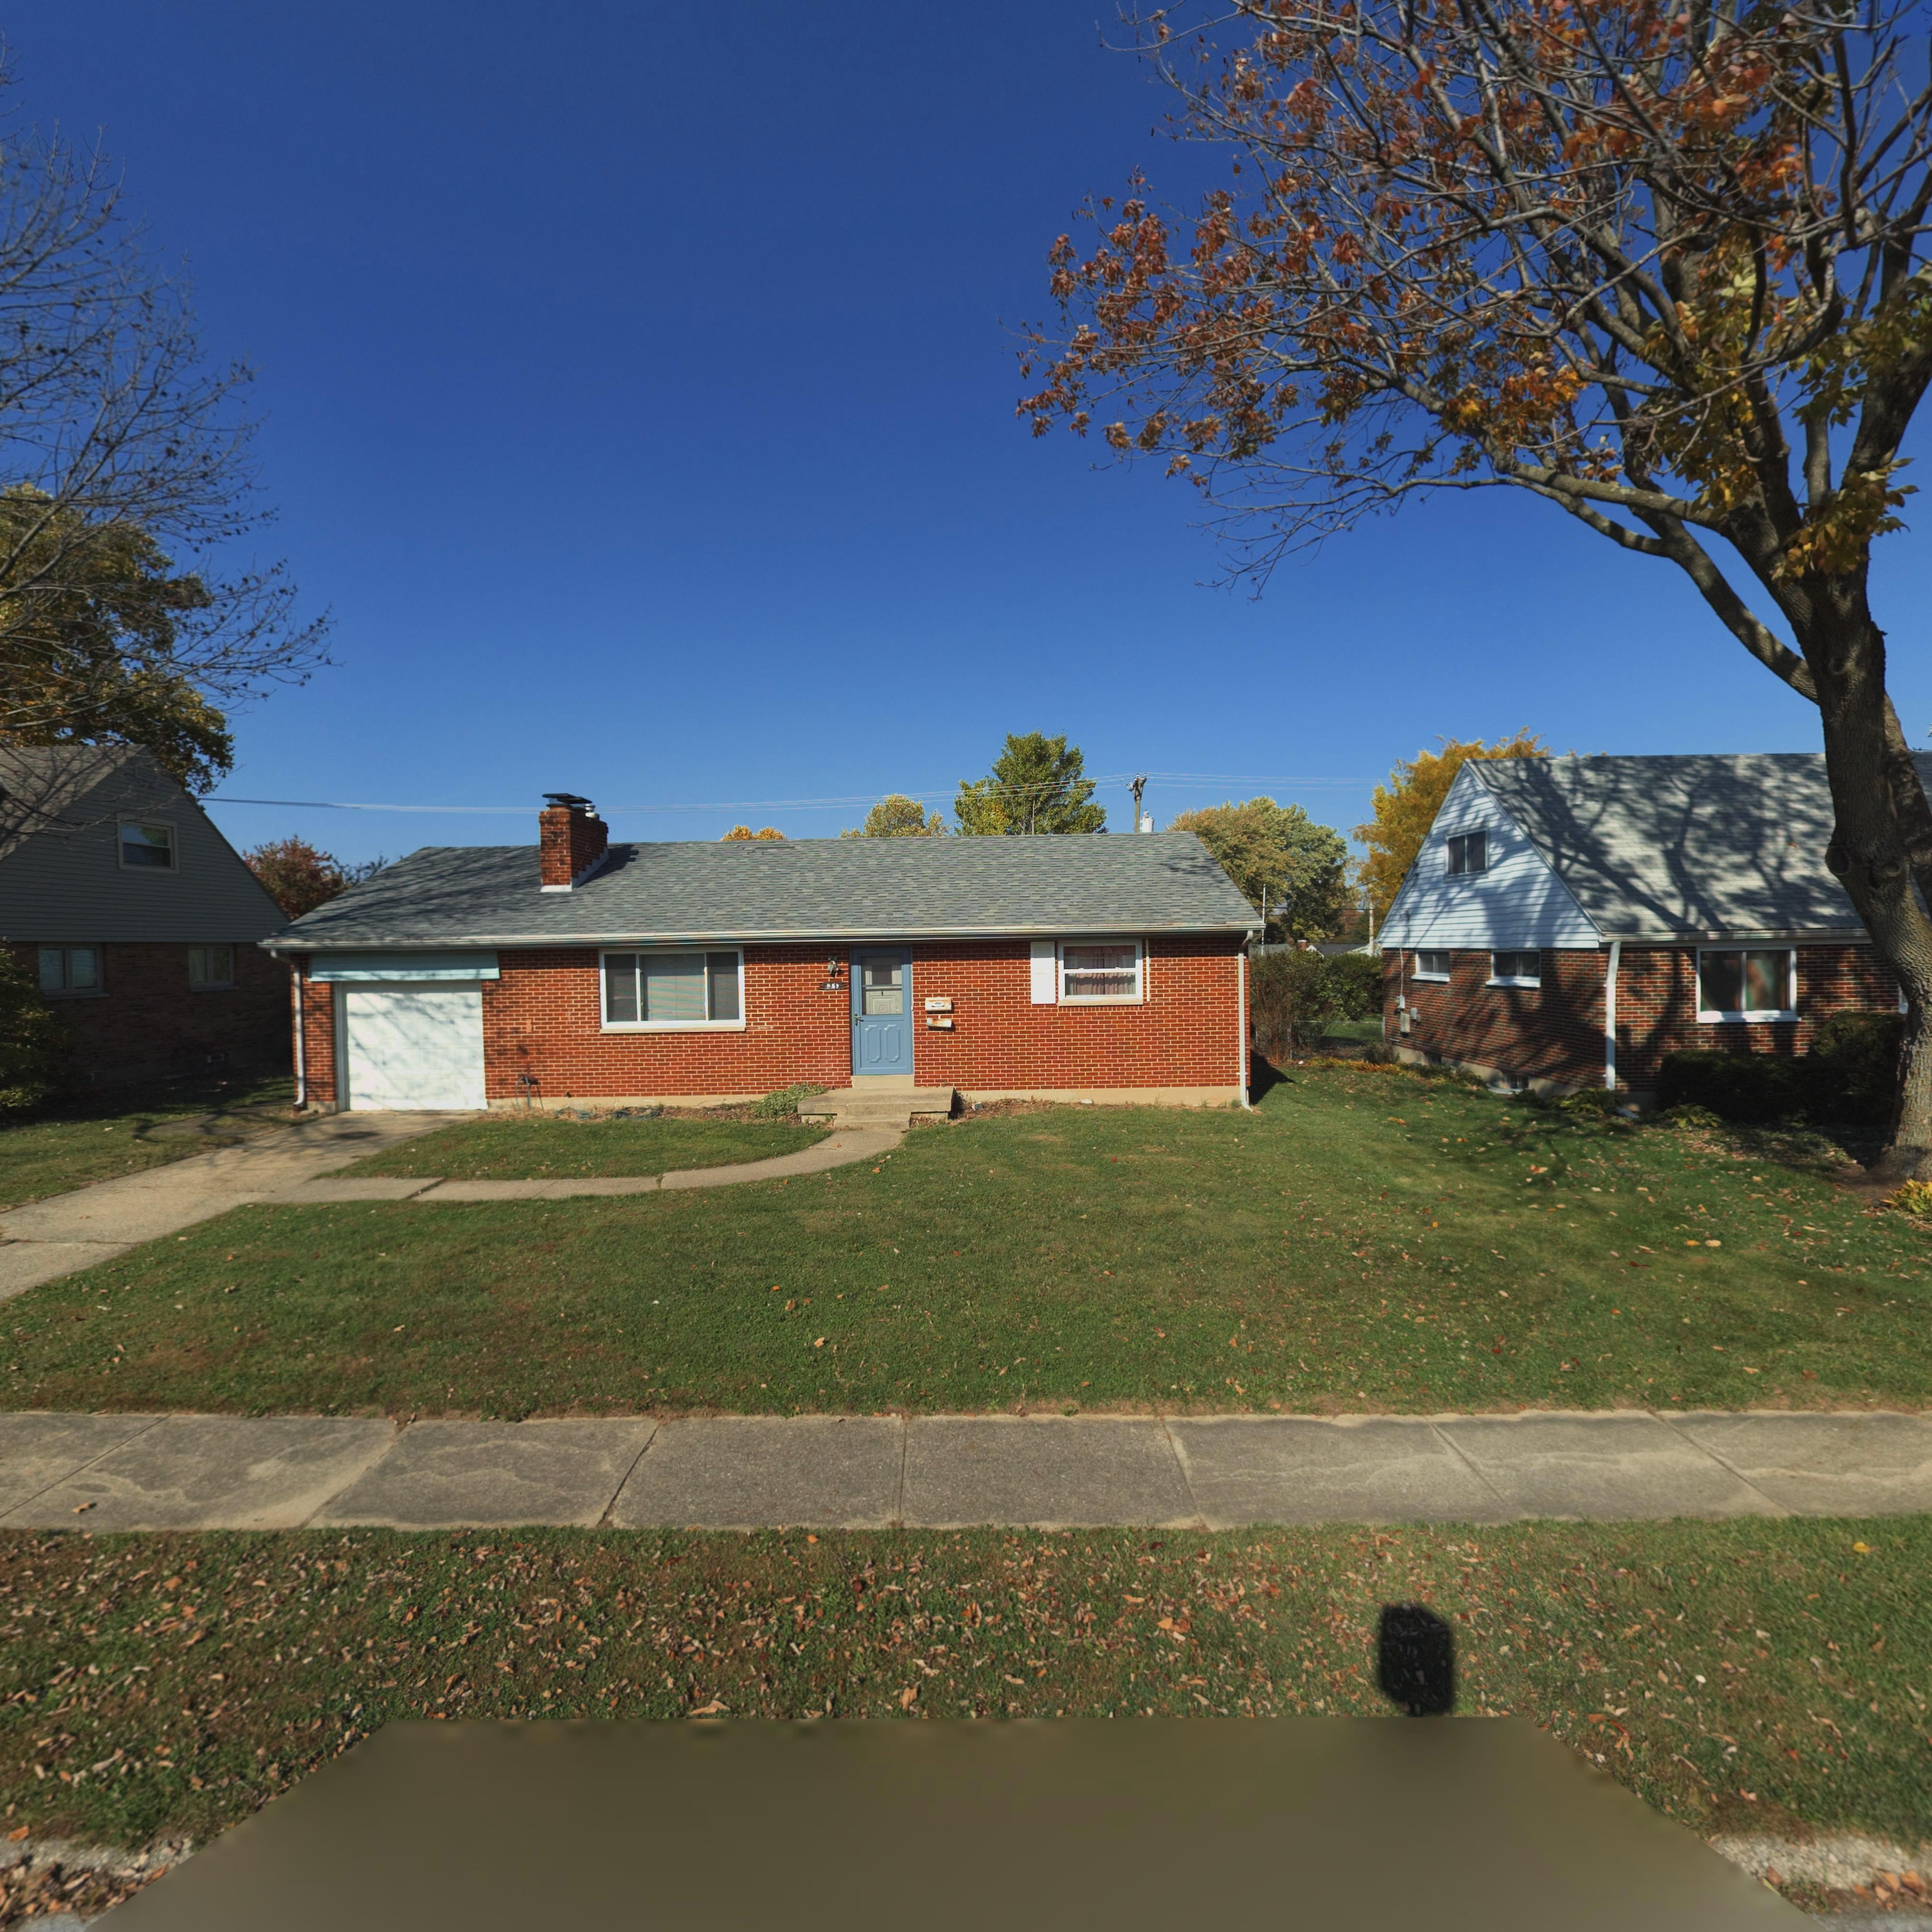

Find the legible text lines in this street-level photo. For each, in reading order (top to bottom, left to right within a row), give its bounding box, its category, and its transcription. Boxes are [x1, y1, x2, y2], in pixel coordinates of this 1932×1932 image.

[826, 983, 840, 989] StreetNumber: 95*